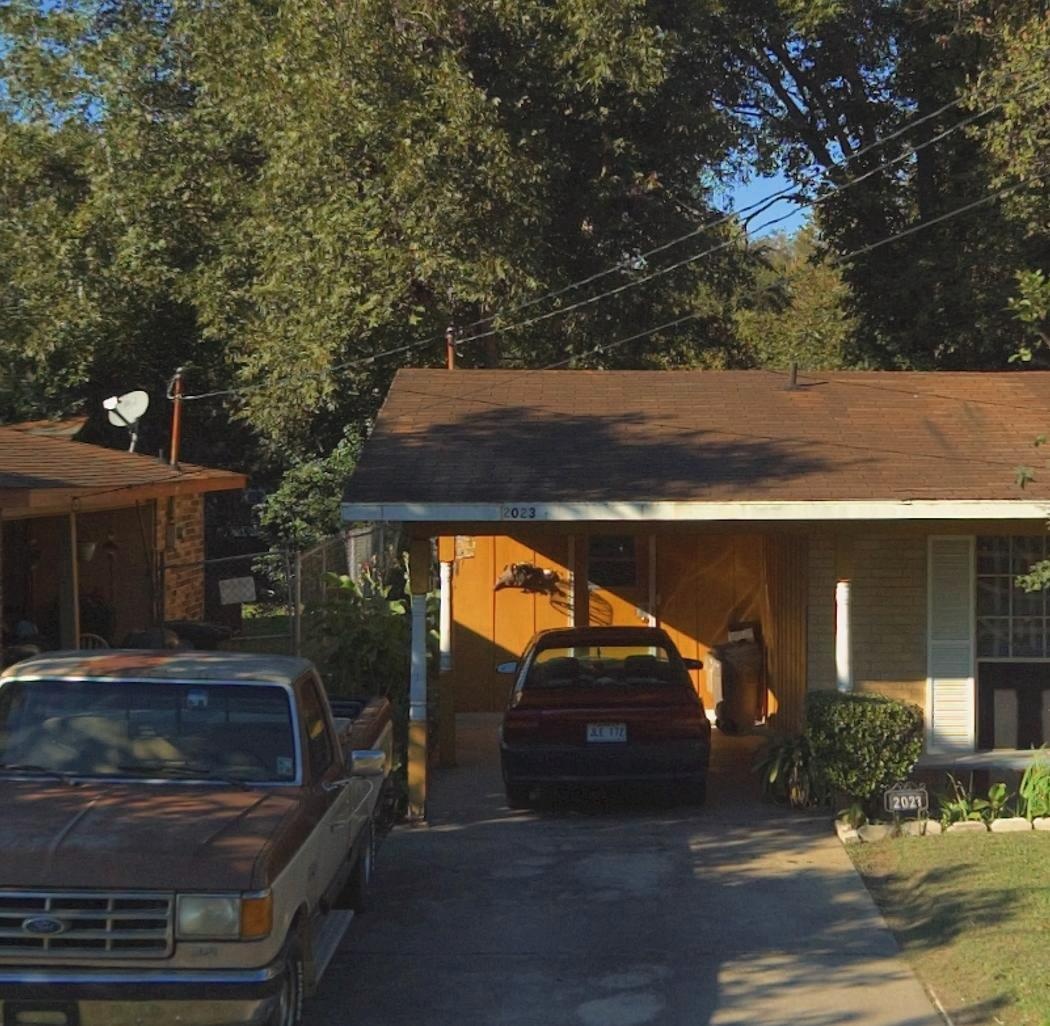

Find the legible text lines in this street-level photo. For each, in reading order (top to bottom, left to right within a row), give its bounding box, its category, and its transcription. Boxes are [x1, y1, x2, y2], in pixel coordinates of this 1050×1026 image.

[501, 506, 538, 520] StreetNumber: 2023
[588, 726, 625, 738] None: JLE 172
[891, 794, 922, 809] StreetNumber: 2023